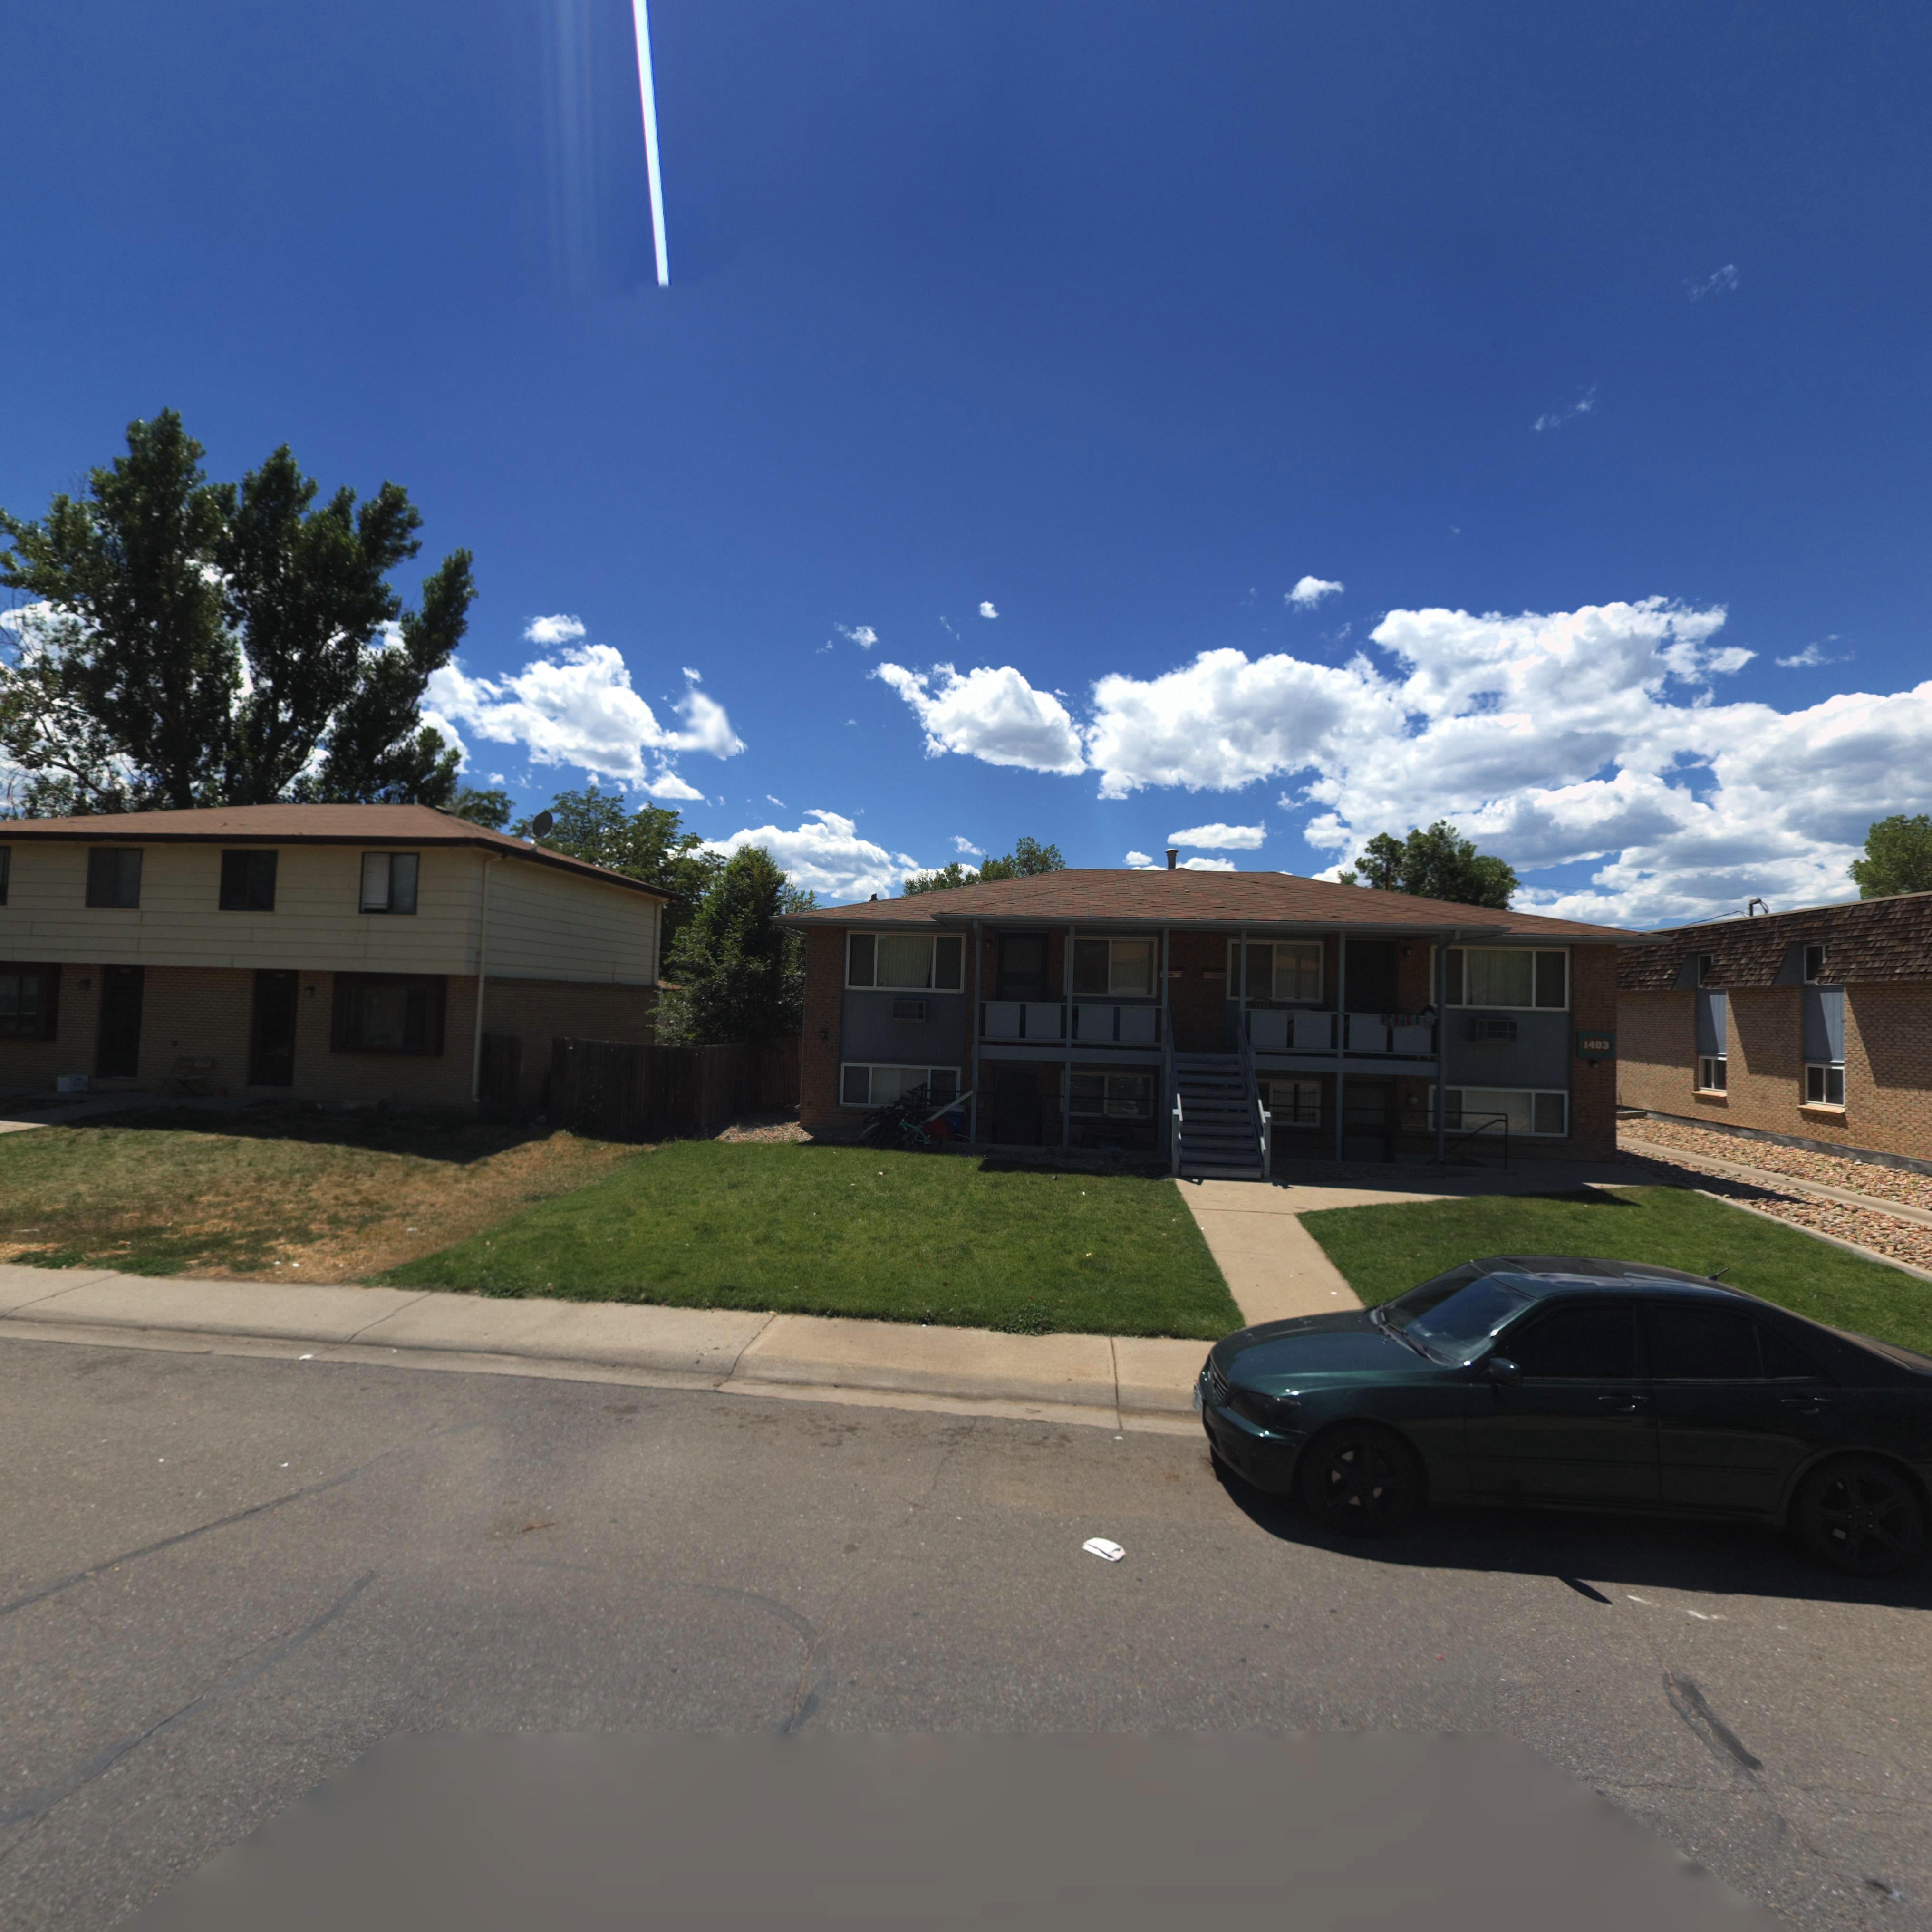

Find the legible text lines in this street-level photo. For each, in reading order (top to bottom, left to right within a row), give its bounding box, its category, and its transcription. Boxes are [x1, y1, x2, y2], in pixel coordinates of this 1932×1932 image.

[119, 967, 131, 974] StreetNumber: 1***
[273, 973, 285, 978] StreetNumber: 1***
[1583, 1040, 1609, 1050] StreetNumber: 1403